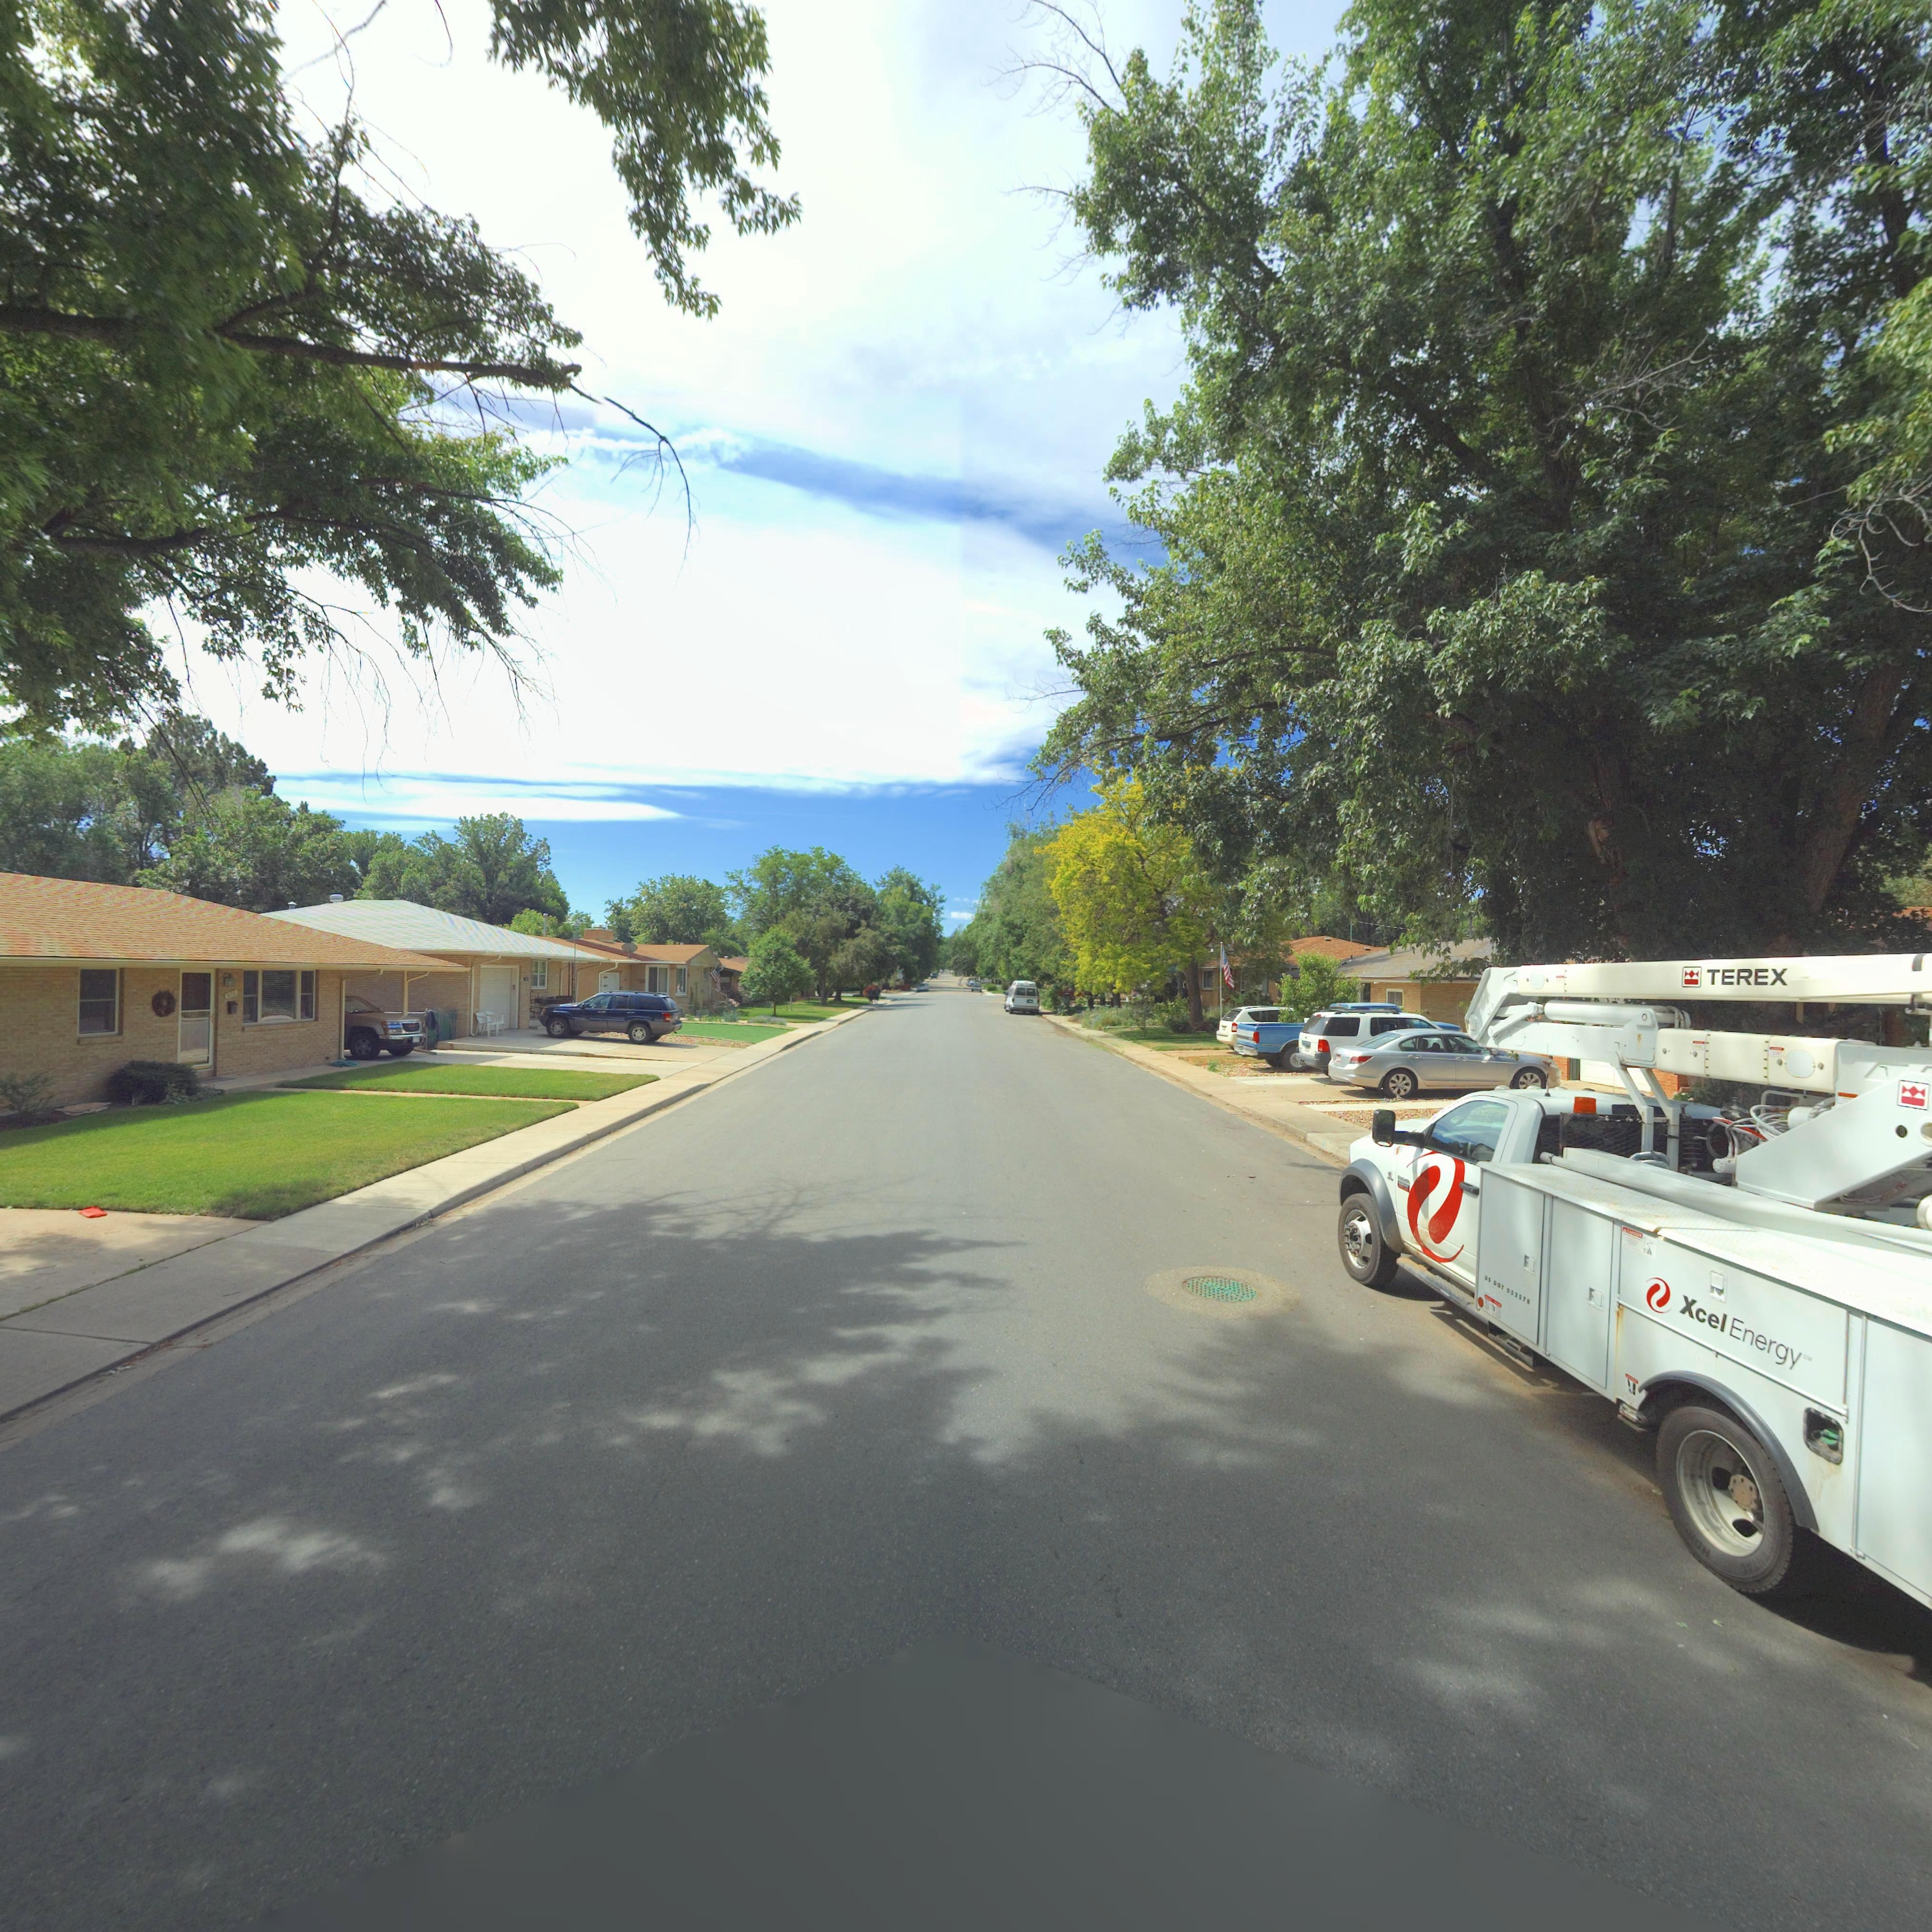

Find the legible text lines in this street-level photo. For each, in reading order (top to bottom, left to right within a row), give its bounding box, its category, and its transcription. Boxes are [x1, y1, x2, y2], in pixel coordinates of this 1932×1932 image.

[226, 990, 237, 998] StreetNumber: 9**